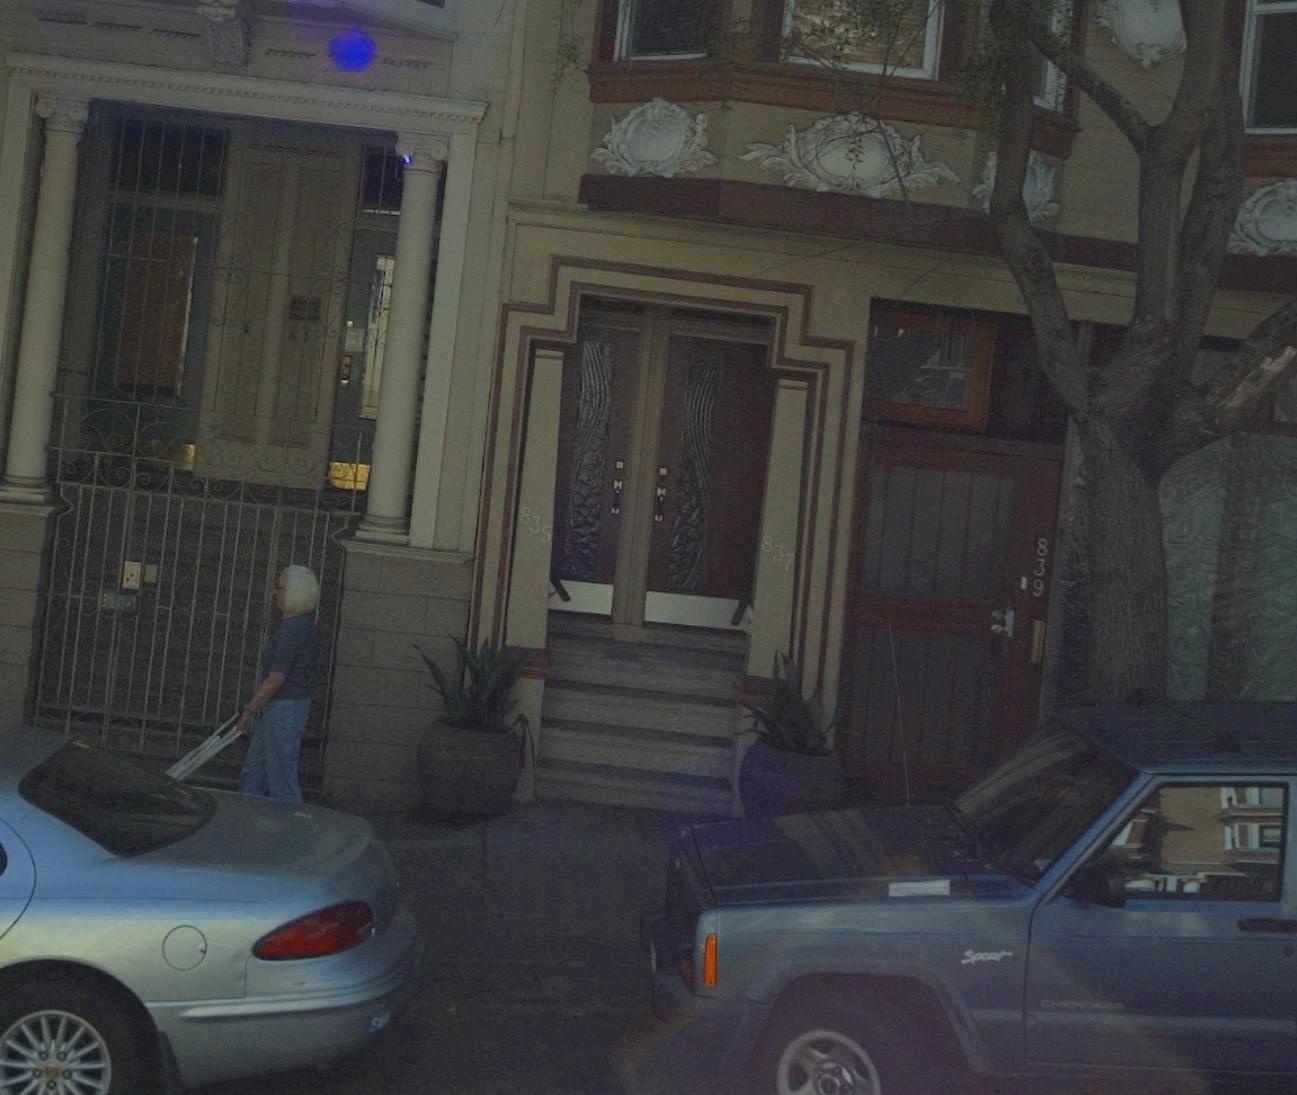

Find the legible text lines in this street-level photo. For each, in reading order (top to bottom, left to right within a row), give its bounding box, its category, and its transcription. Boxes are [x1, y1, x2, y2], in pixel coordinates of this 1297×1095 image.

[519, 505, 553, 552] StreetNumber: 835
[761, 533, 795, 576] StreetNumber: 837
[1030, 537, 1051, 602] StreetNumber: 839
[959, 947, 1014, 966] None: SPORT